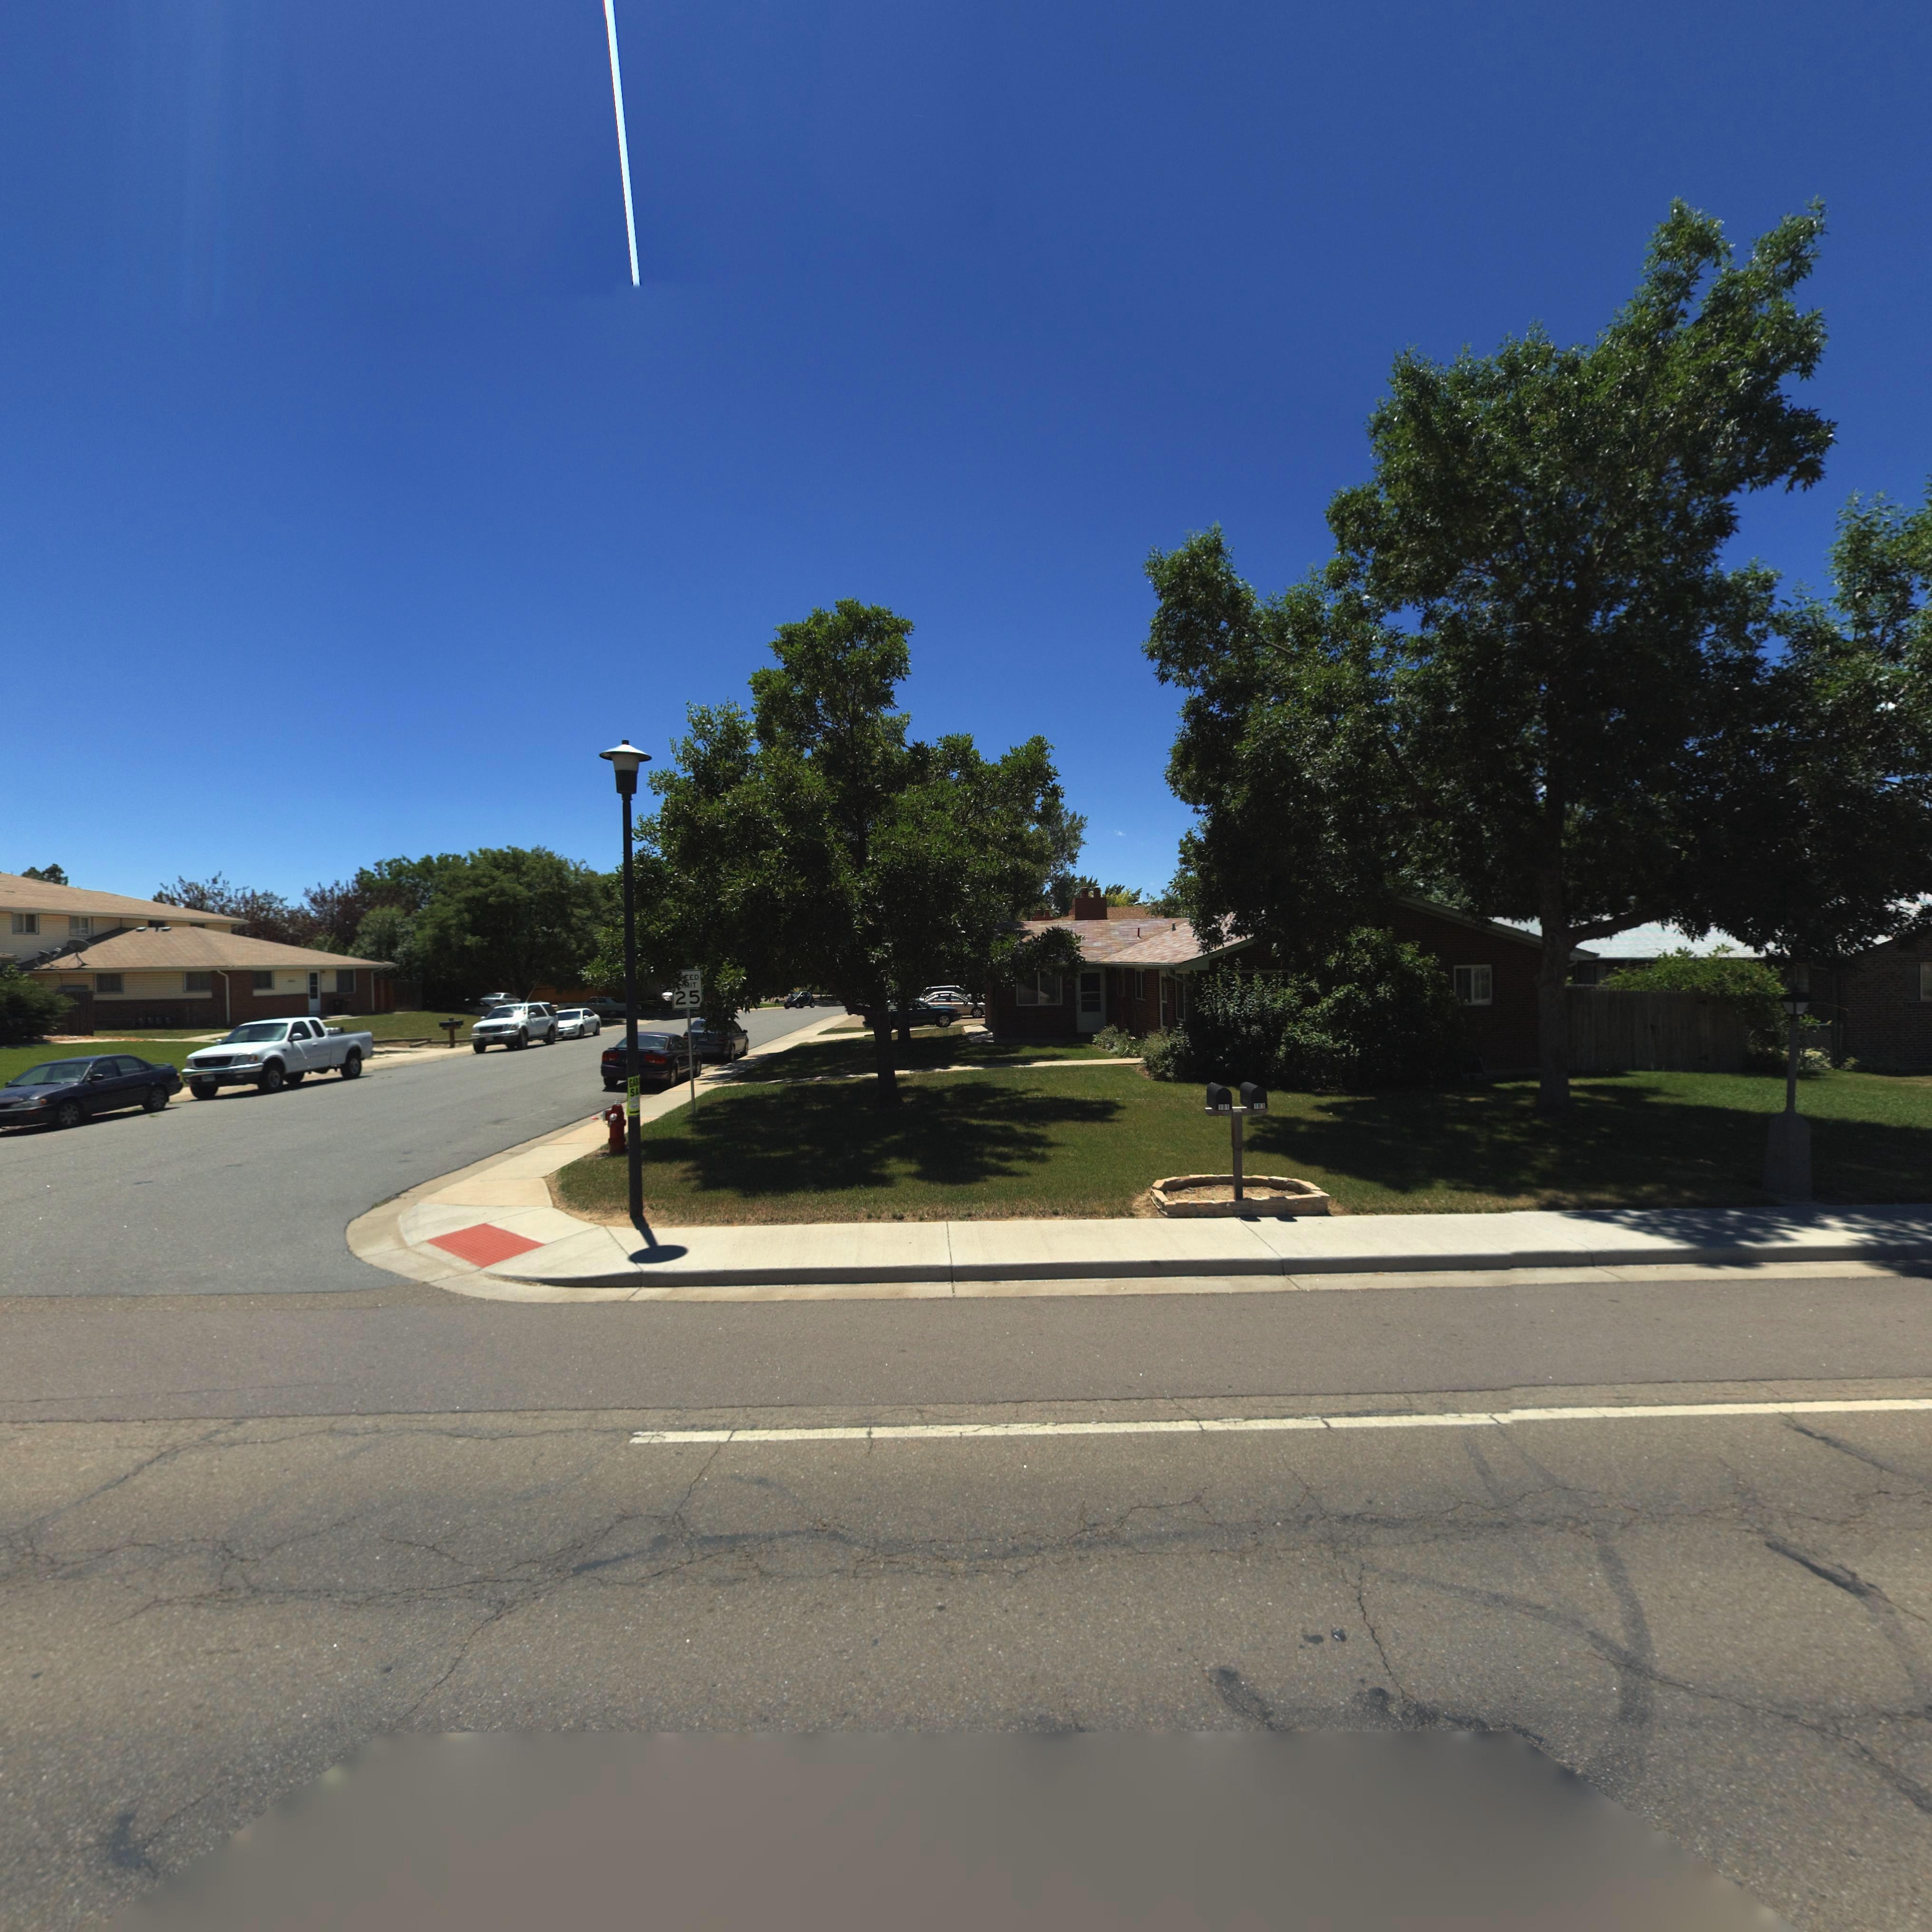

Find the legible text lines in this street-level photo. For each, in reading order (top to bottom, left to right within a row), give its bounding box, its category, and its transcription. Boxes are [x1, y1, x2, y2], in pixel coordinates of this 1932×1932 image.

[1065, 984, 1072, 988] StreetNumber: 10*
[1219, 1104, 1228, 1109] StreetNumber: 101
[1255, 1103, 1264, 1109] StreetNumber: 103